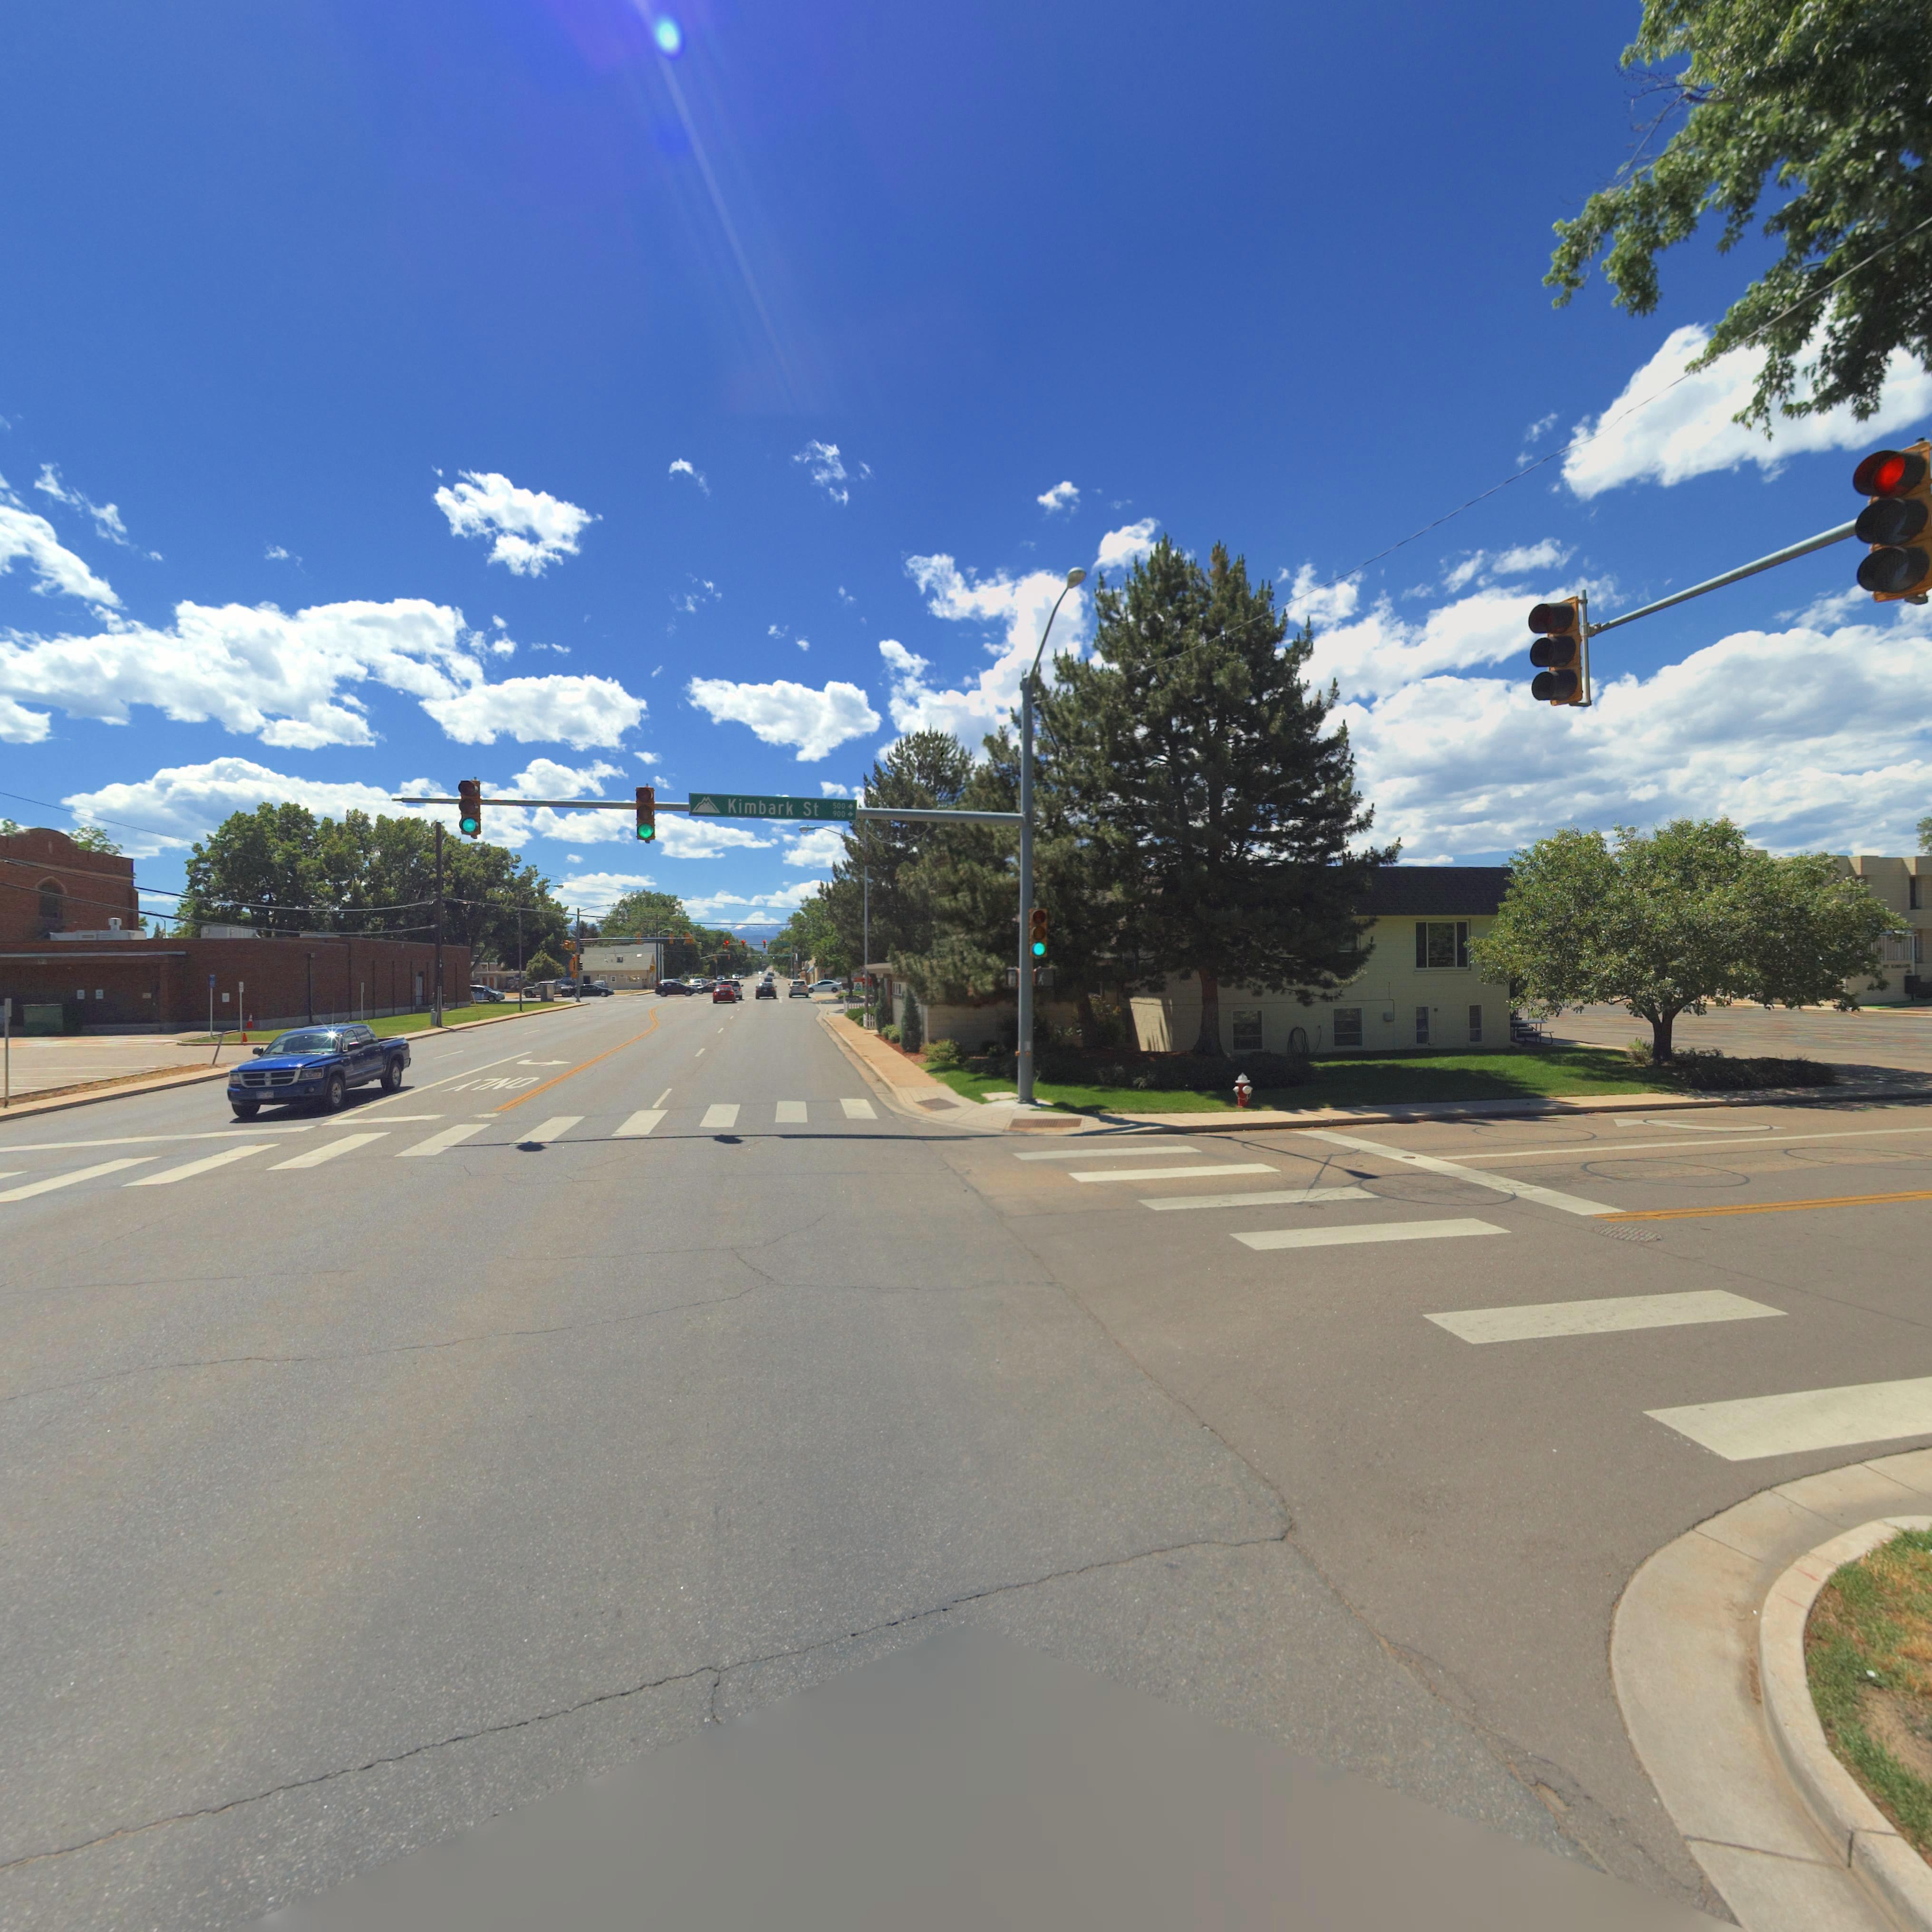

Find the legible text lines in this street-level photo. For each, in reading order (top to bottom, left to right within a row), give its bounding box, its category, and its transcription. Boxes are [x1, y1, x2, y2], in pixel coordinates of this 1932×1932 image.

[727, 797, 820, 817] StreetName: Kimbark St
[832, 802, 846, 810] StreetNumberRange: 500
[832, 810, 854, 818] StreetNumberRange: 900->